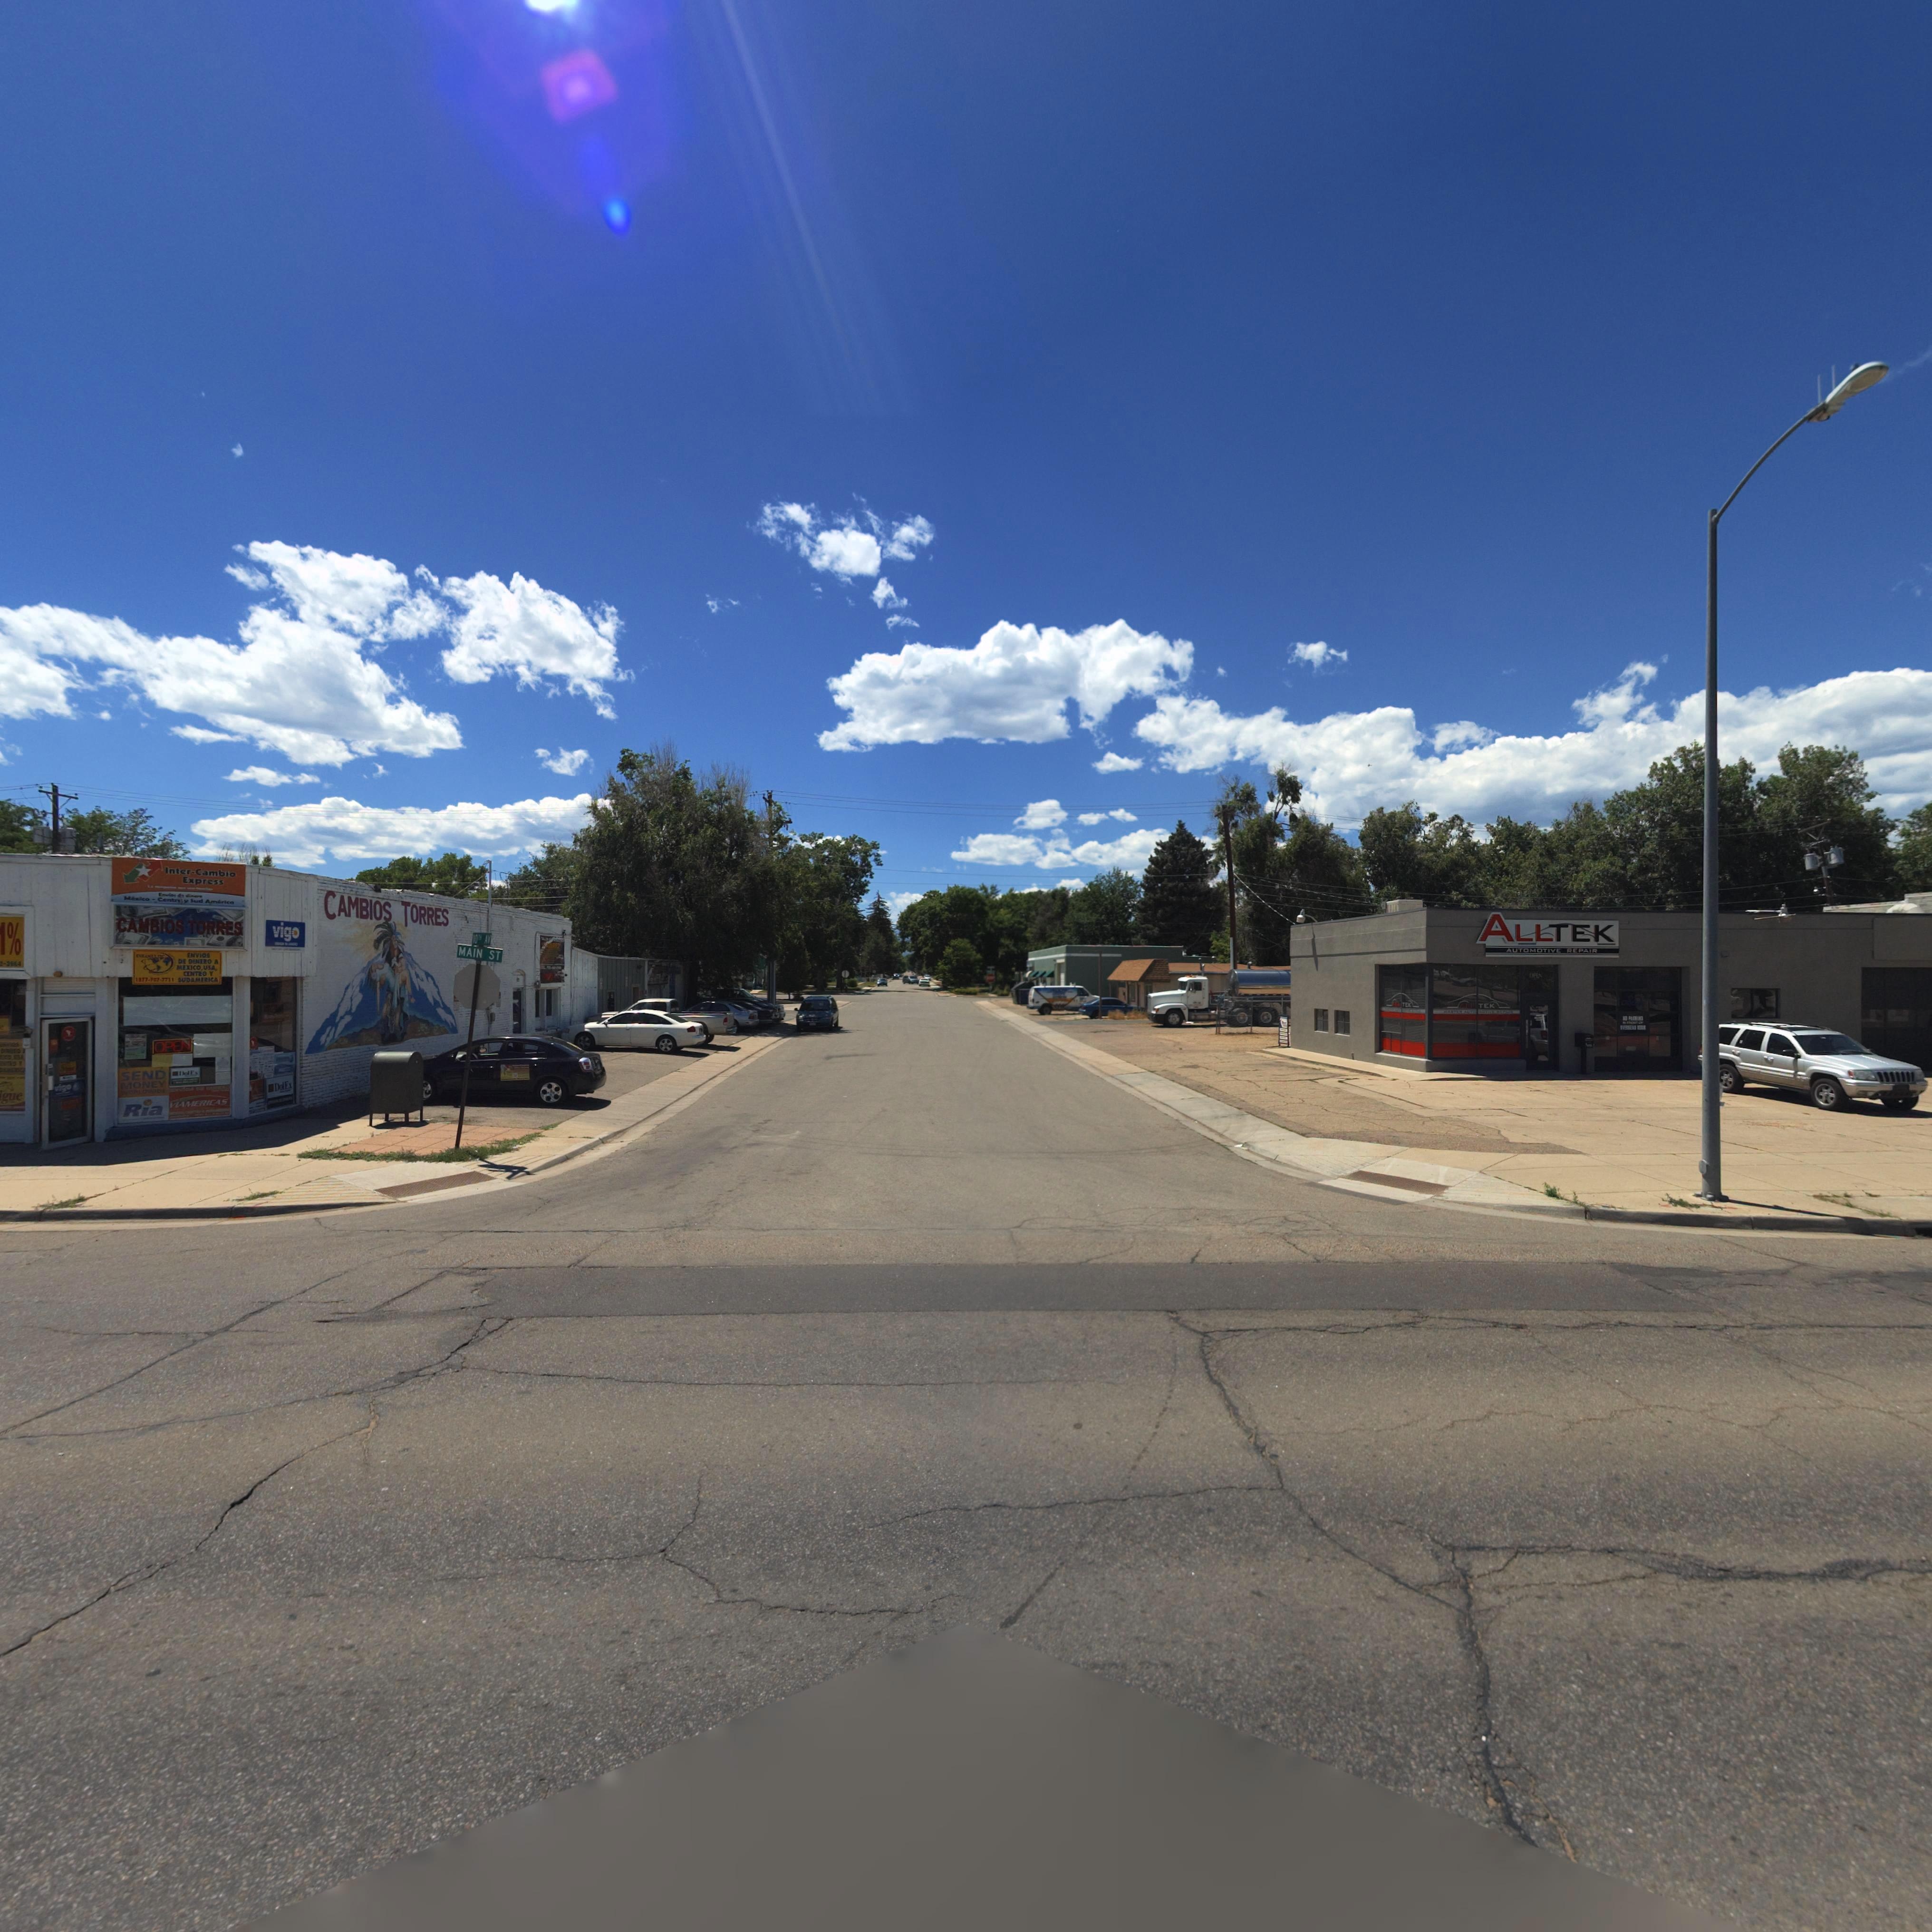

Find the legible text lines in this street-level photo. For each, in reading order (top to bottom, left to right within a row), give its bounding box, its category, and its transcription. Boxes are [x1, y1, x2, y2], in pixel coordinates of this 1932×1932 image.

[323, 890, 449, 927] BusinessName: CAMBIOS TORRES
[117, 917, 242, 936] BusinessName: CAMBIOS TORRES
[1477, 913, 1614, 943] BusinessName: ALLTEK
[472, 934, 491, 944] StreetName: 10* AV
[458, 946, 501, 961] StreetName: MAIN ST
[1391, 1001, 1411, 1007] BusinessName: ALLTEK
[1460, 1003, 1496, 1009] BusinessName: ALLTEK